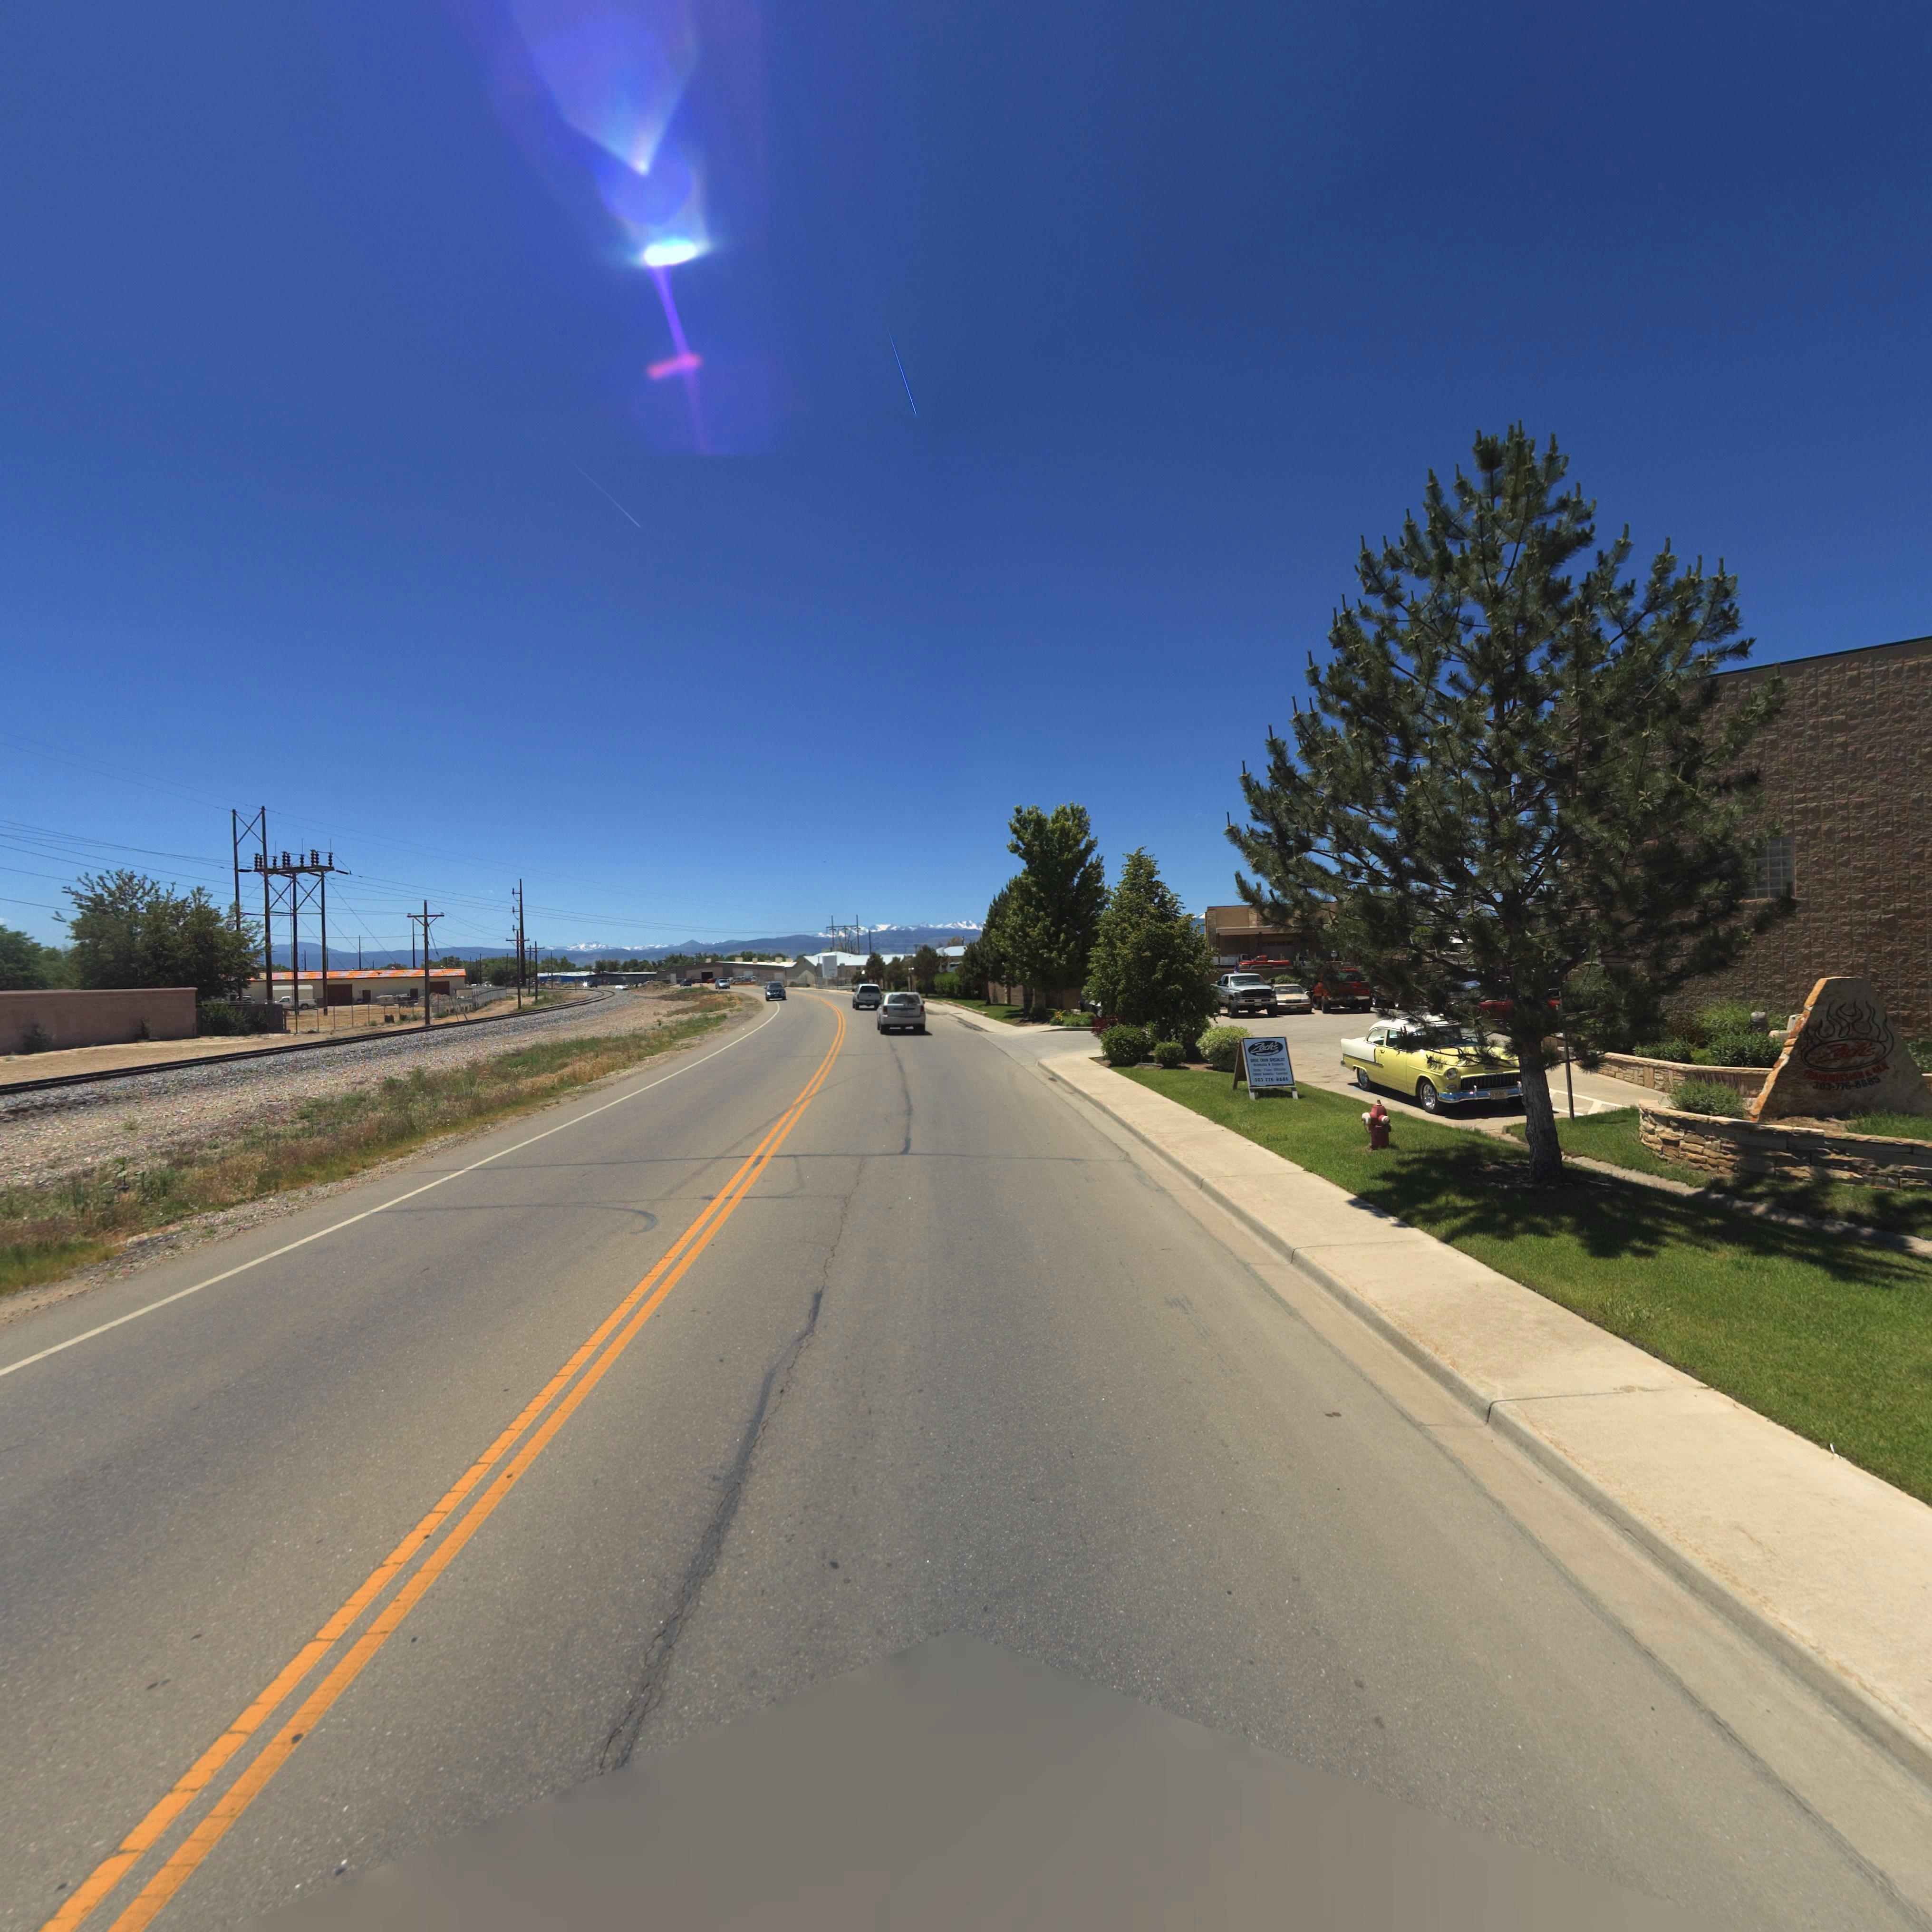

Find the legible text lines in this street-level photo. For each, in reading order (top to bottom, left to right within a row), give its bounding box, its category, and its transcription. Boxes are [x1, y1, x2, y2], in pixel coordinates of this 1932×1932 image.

[1249, 1041, 1279, 1054] BusinessName: Zach's
[1811, 1041, 1876, 1065] BusinessName: Zach's
[1801, 1062, 1892, 1082] BusinessName: TRANSMISSION & $X$